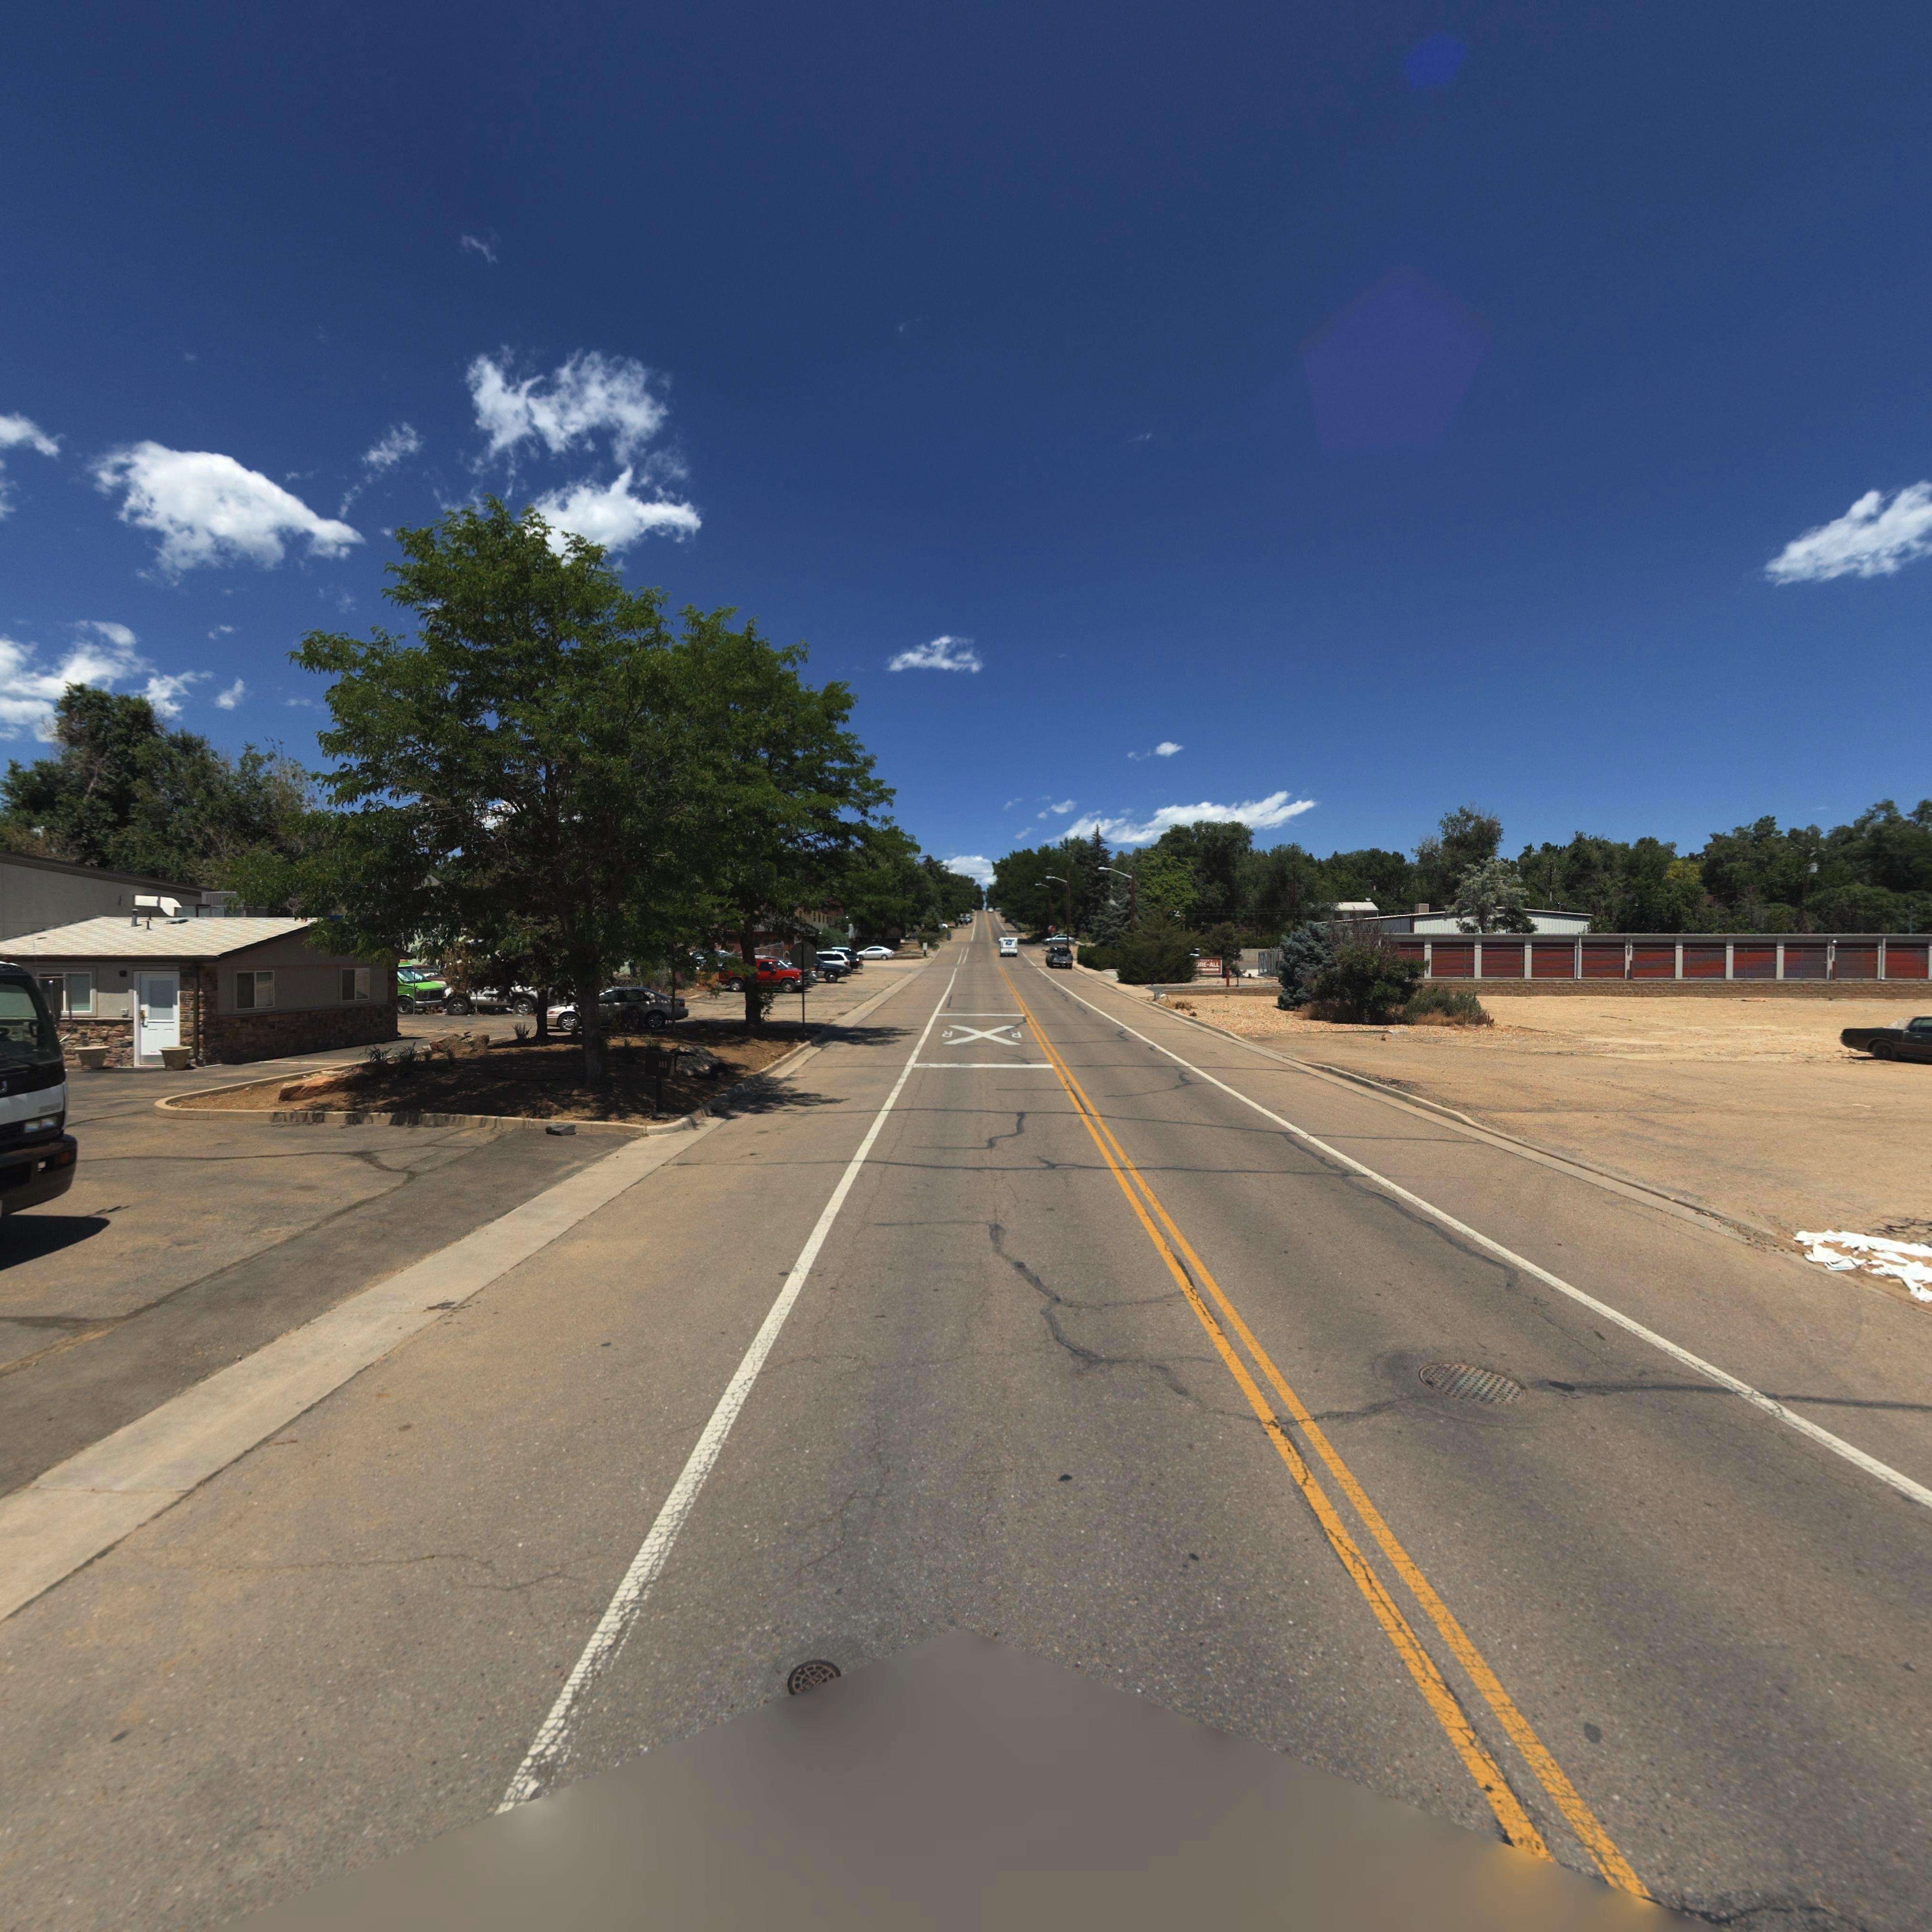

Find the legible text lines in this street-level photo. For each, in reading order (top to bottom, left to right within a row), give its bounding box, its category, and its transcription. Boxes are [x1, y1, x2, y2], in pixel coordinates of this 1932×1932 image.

[1195, 958, 1213, 961] BusinessName: ****E****
[1194, 961, 1220, 967] BusinessName: ORE-ALL
[658, 1060, 667, 1068] StreetNumber: 105